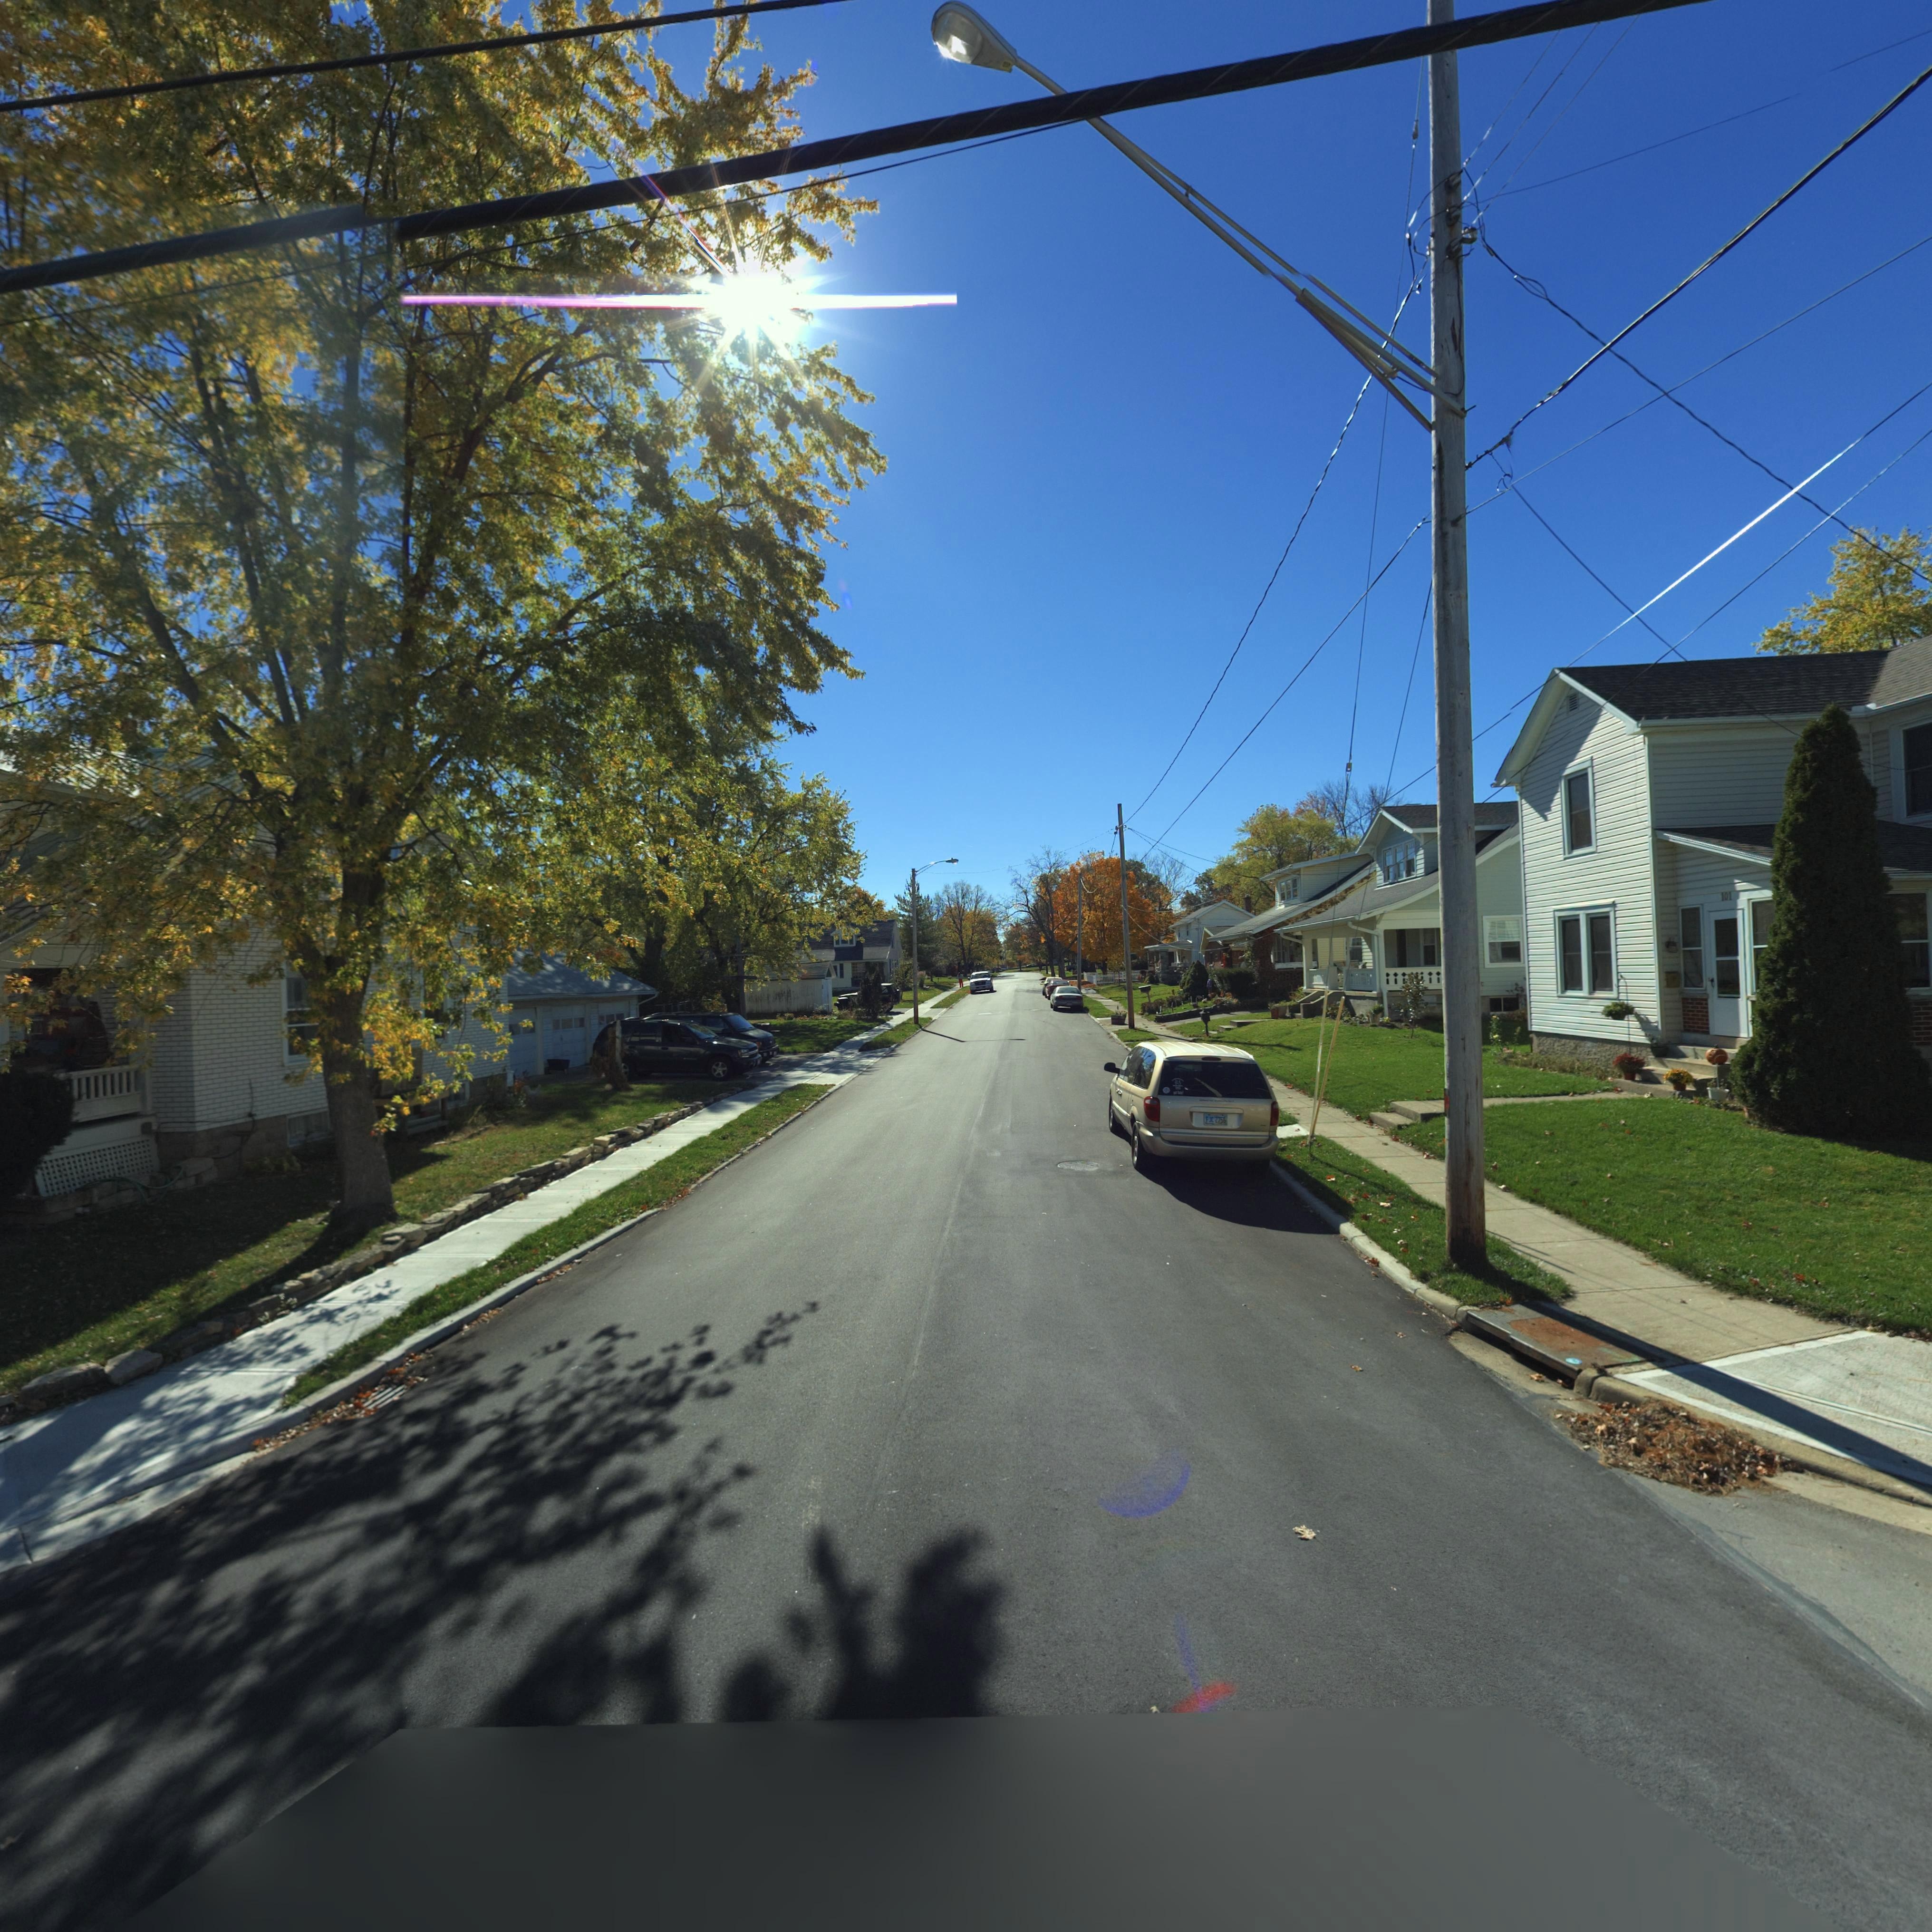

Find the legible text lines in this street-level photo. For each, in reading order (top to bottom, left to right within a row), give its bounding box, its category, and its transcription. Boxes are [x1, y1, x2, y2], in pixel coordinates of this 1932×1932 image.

[1720, 891, 1732, 902] StreetNumber: 101